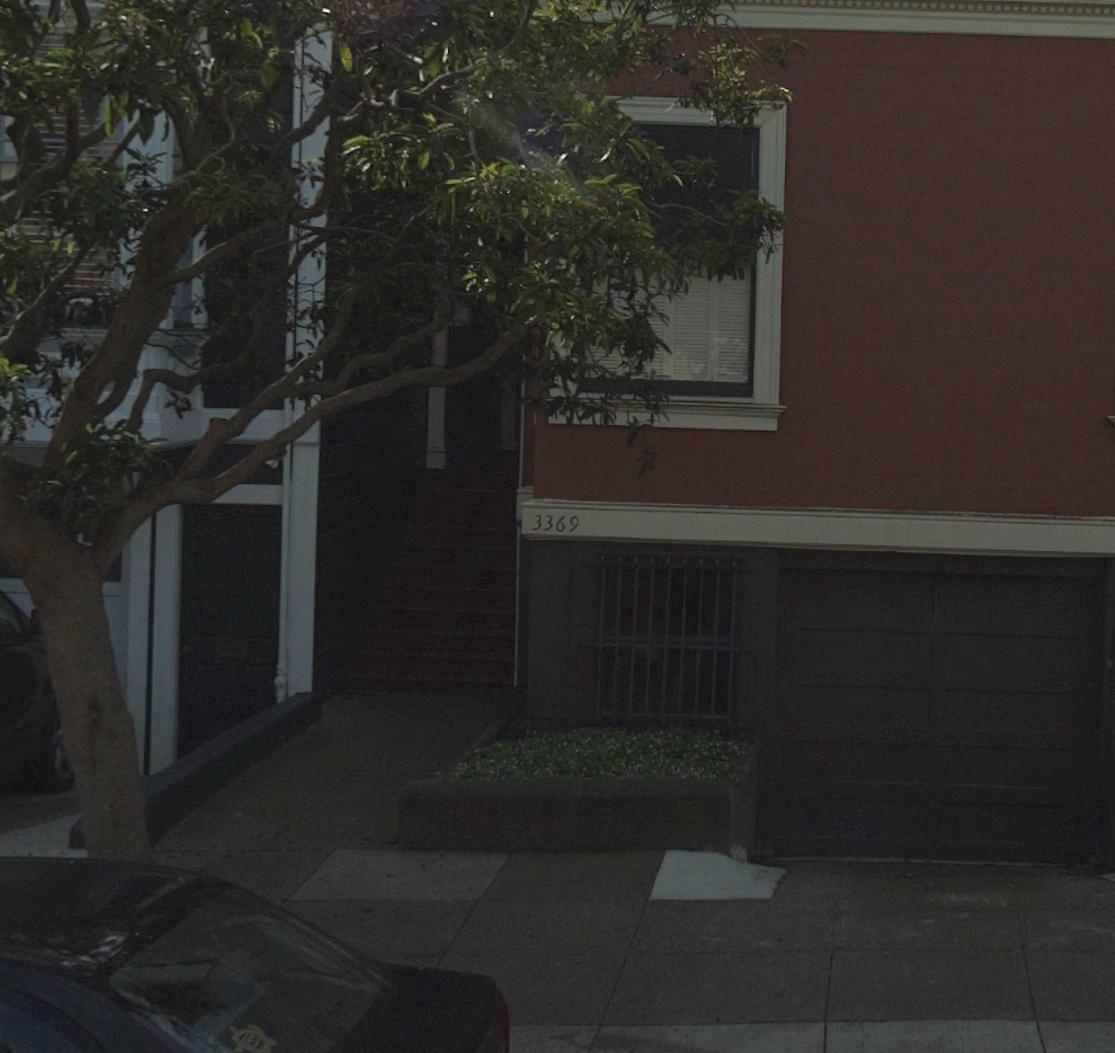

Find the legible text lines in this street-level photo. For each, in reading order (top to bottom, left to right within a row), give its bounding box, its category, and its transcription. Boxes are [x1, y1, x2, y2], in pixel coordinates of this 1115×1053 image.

[529, 512, 584, 535] StreetNumber: 3369